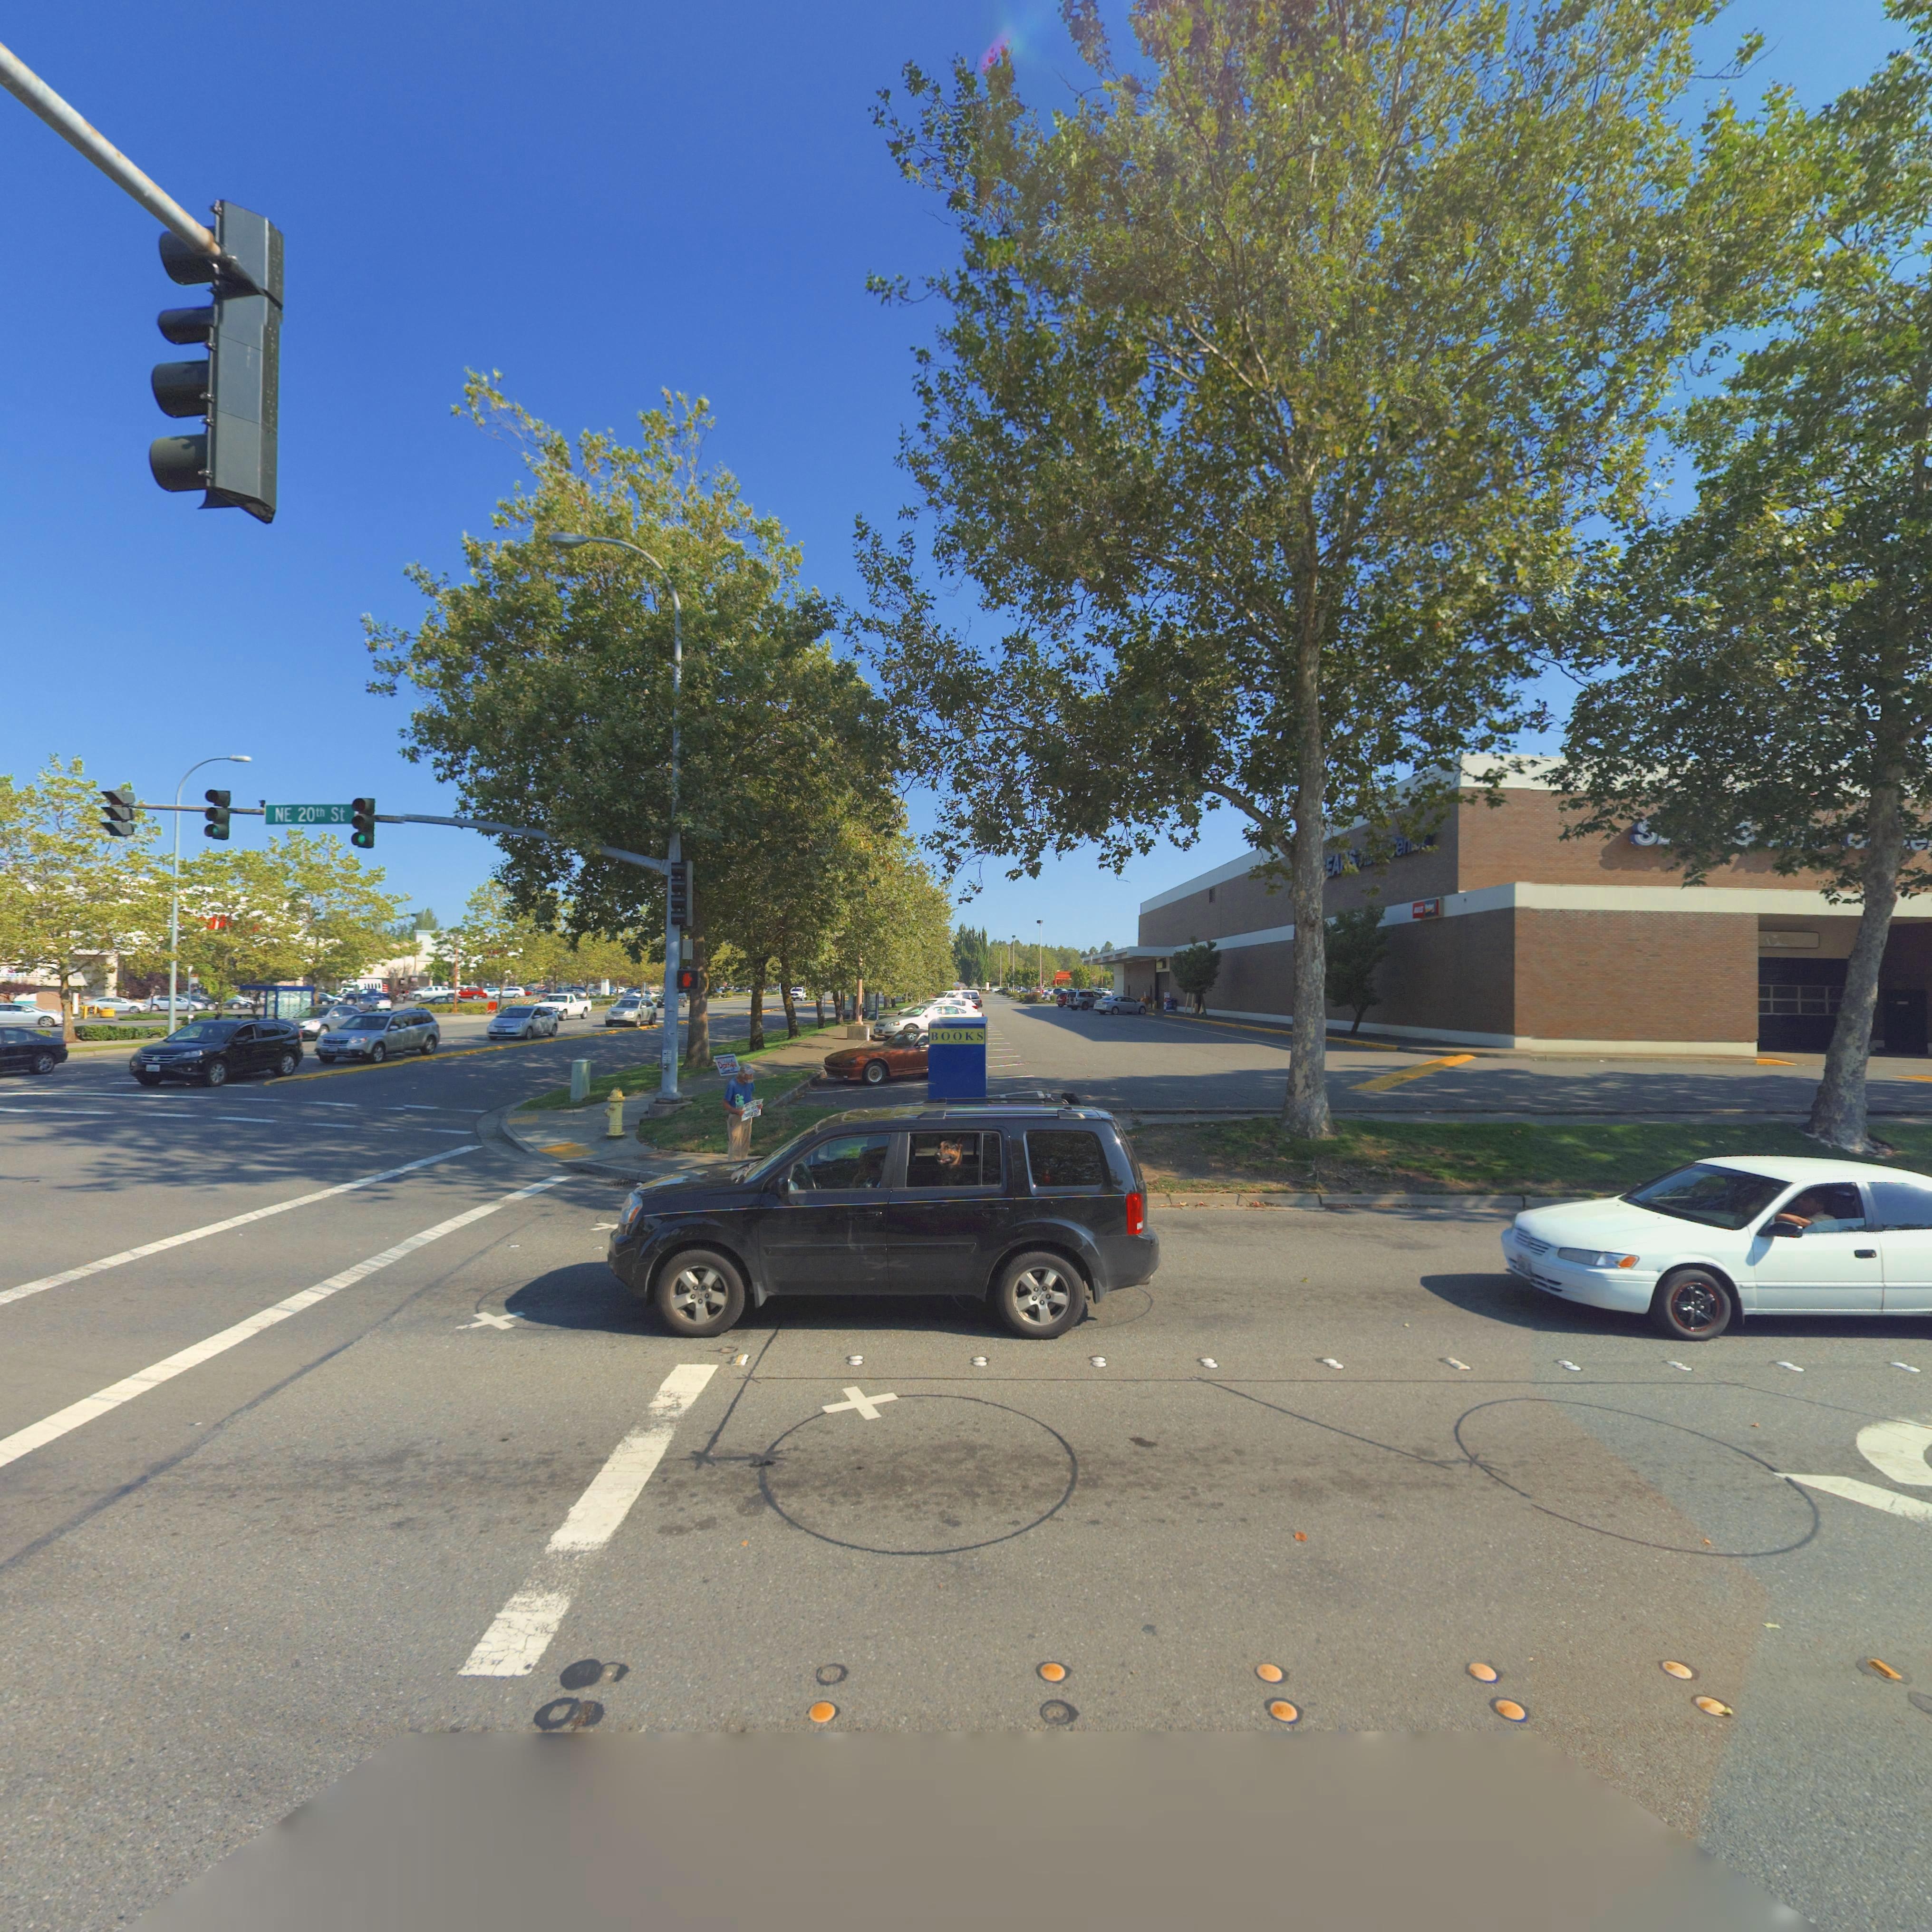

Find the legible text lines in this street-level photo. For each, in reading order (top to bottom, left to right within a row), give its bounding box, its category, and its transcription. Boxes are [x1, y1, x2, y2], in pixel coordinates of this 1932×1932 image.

[276, 807, 344, 821] StreetName: NE 20th St
[1330, 853, 1340, 876] BusinessName: A